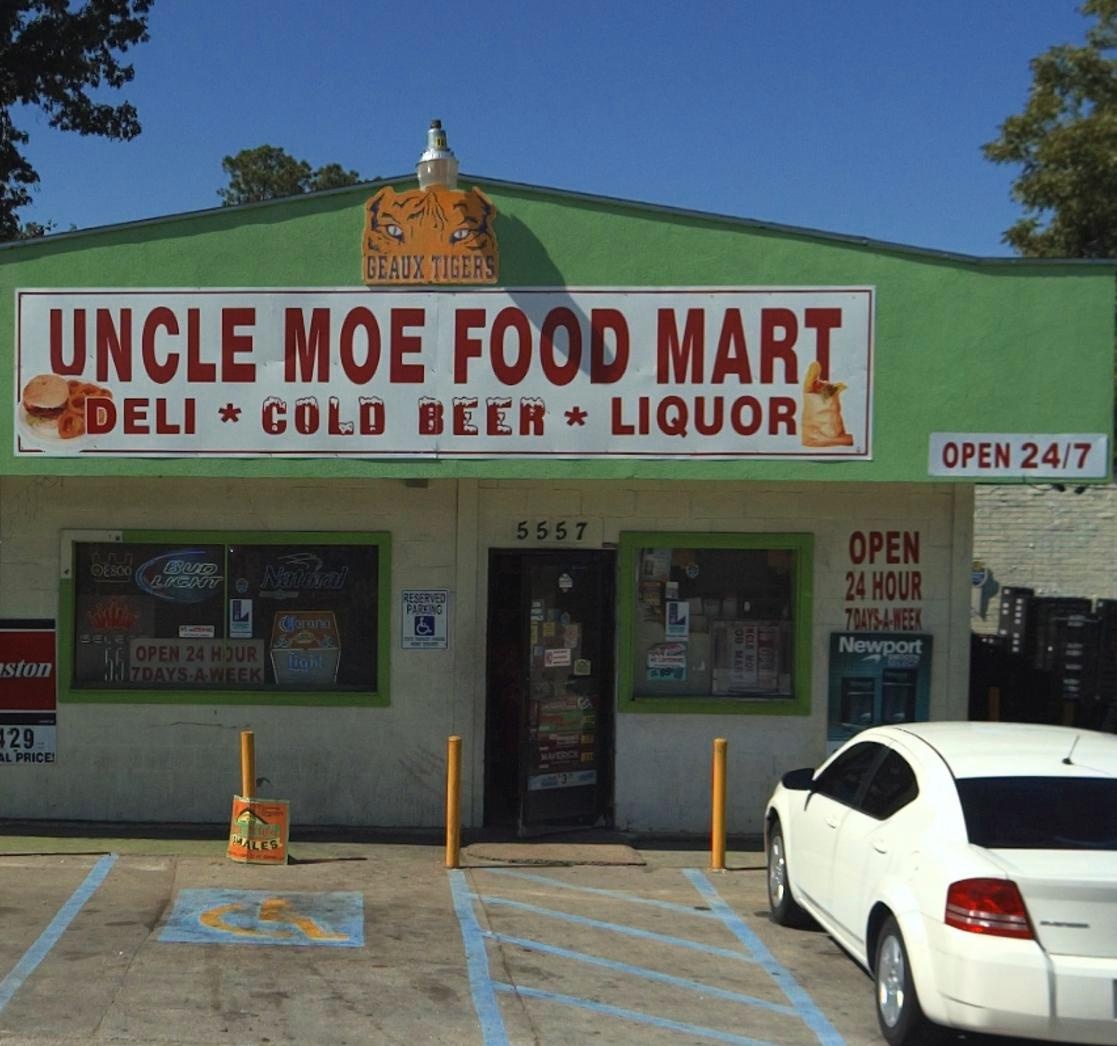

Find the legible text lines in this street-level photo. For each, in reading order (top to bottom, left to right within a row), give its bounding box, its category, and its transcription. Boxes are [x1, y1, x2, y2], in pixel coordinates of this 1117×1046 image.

[365, 253, 497, 281] None: GEAUX TIGERS
[48, 307, 844, 386] BusinessName: UNCLE MOE FOOD MART
[82, 394, 799, 439] None: DELI * COLD BEER * LIQUOR
[940, 439, 1096, 470] None: OPEN 24/7
[516, 519, 589, 542] StreetNumber: 5557
[848, 528, 923, 566] None: OPEN
[109, 563, 133, 578] None: 800
[148, 573, 227, 590] None: LIGHT
[160, 558, 220, 576] None: BUD
[258, 563, 351, 590] None: Natural
[844, 569, 926, 602] None: 24 HOUR
[402, 591, 447, 604] None: RESERVED
[293, 617, 334, 632] None: orona
[405, 602, 444, 616] None: PARKING
[843, 606, 924, 632] None: 7 DAYS*A*WEEK
[1, 657, 54, 679] None: ston
[78, 632, 126, 644] None: SELE
[103, 645, 126, 683] None: 55
[134, 644, 259, 663] None: OPEN 24 H*UR
[129, 665, 264, 683] None: 7DAYS*A*WEEK
[293, 654, 324, 674] None: ight
[838, 635, 924, 658] None: Newport
[7, 725, 36, 750] None: 29
[4, 751, 53, 763] None: L PRICE
[241, 837, 279, 851] None: ALES